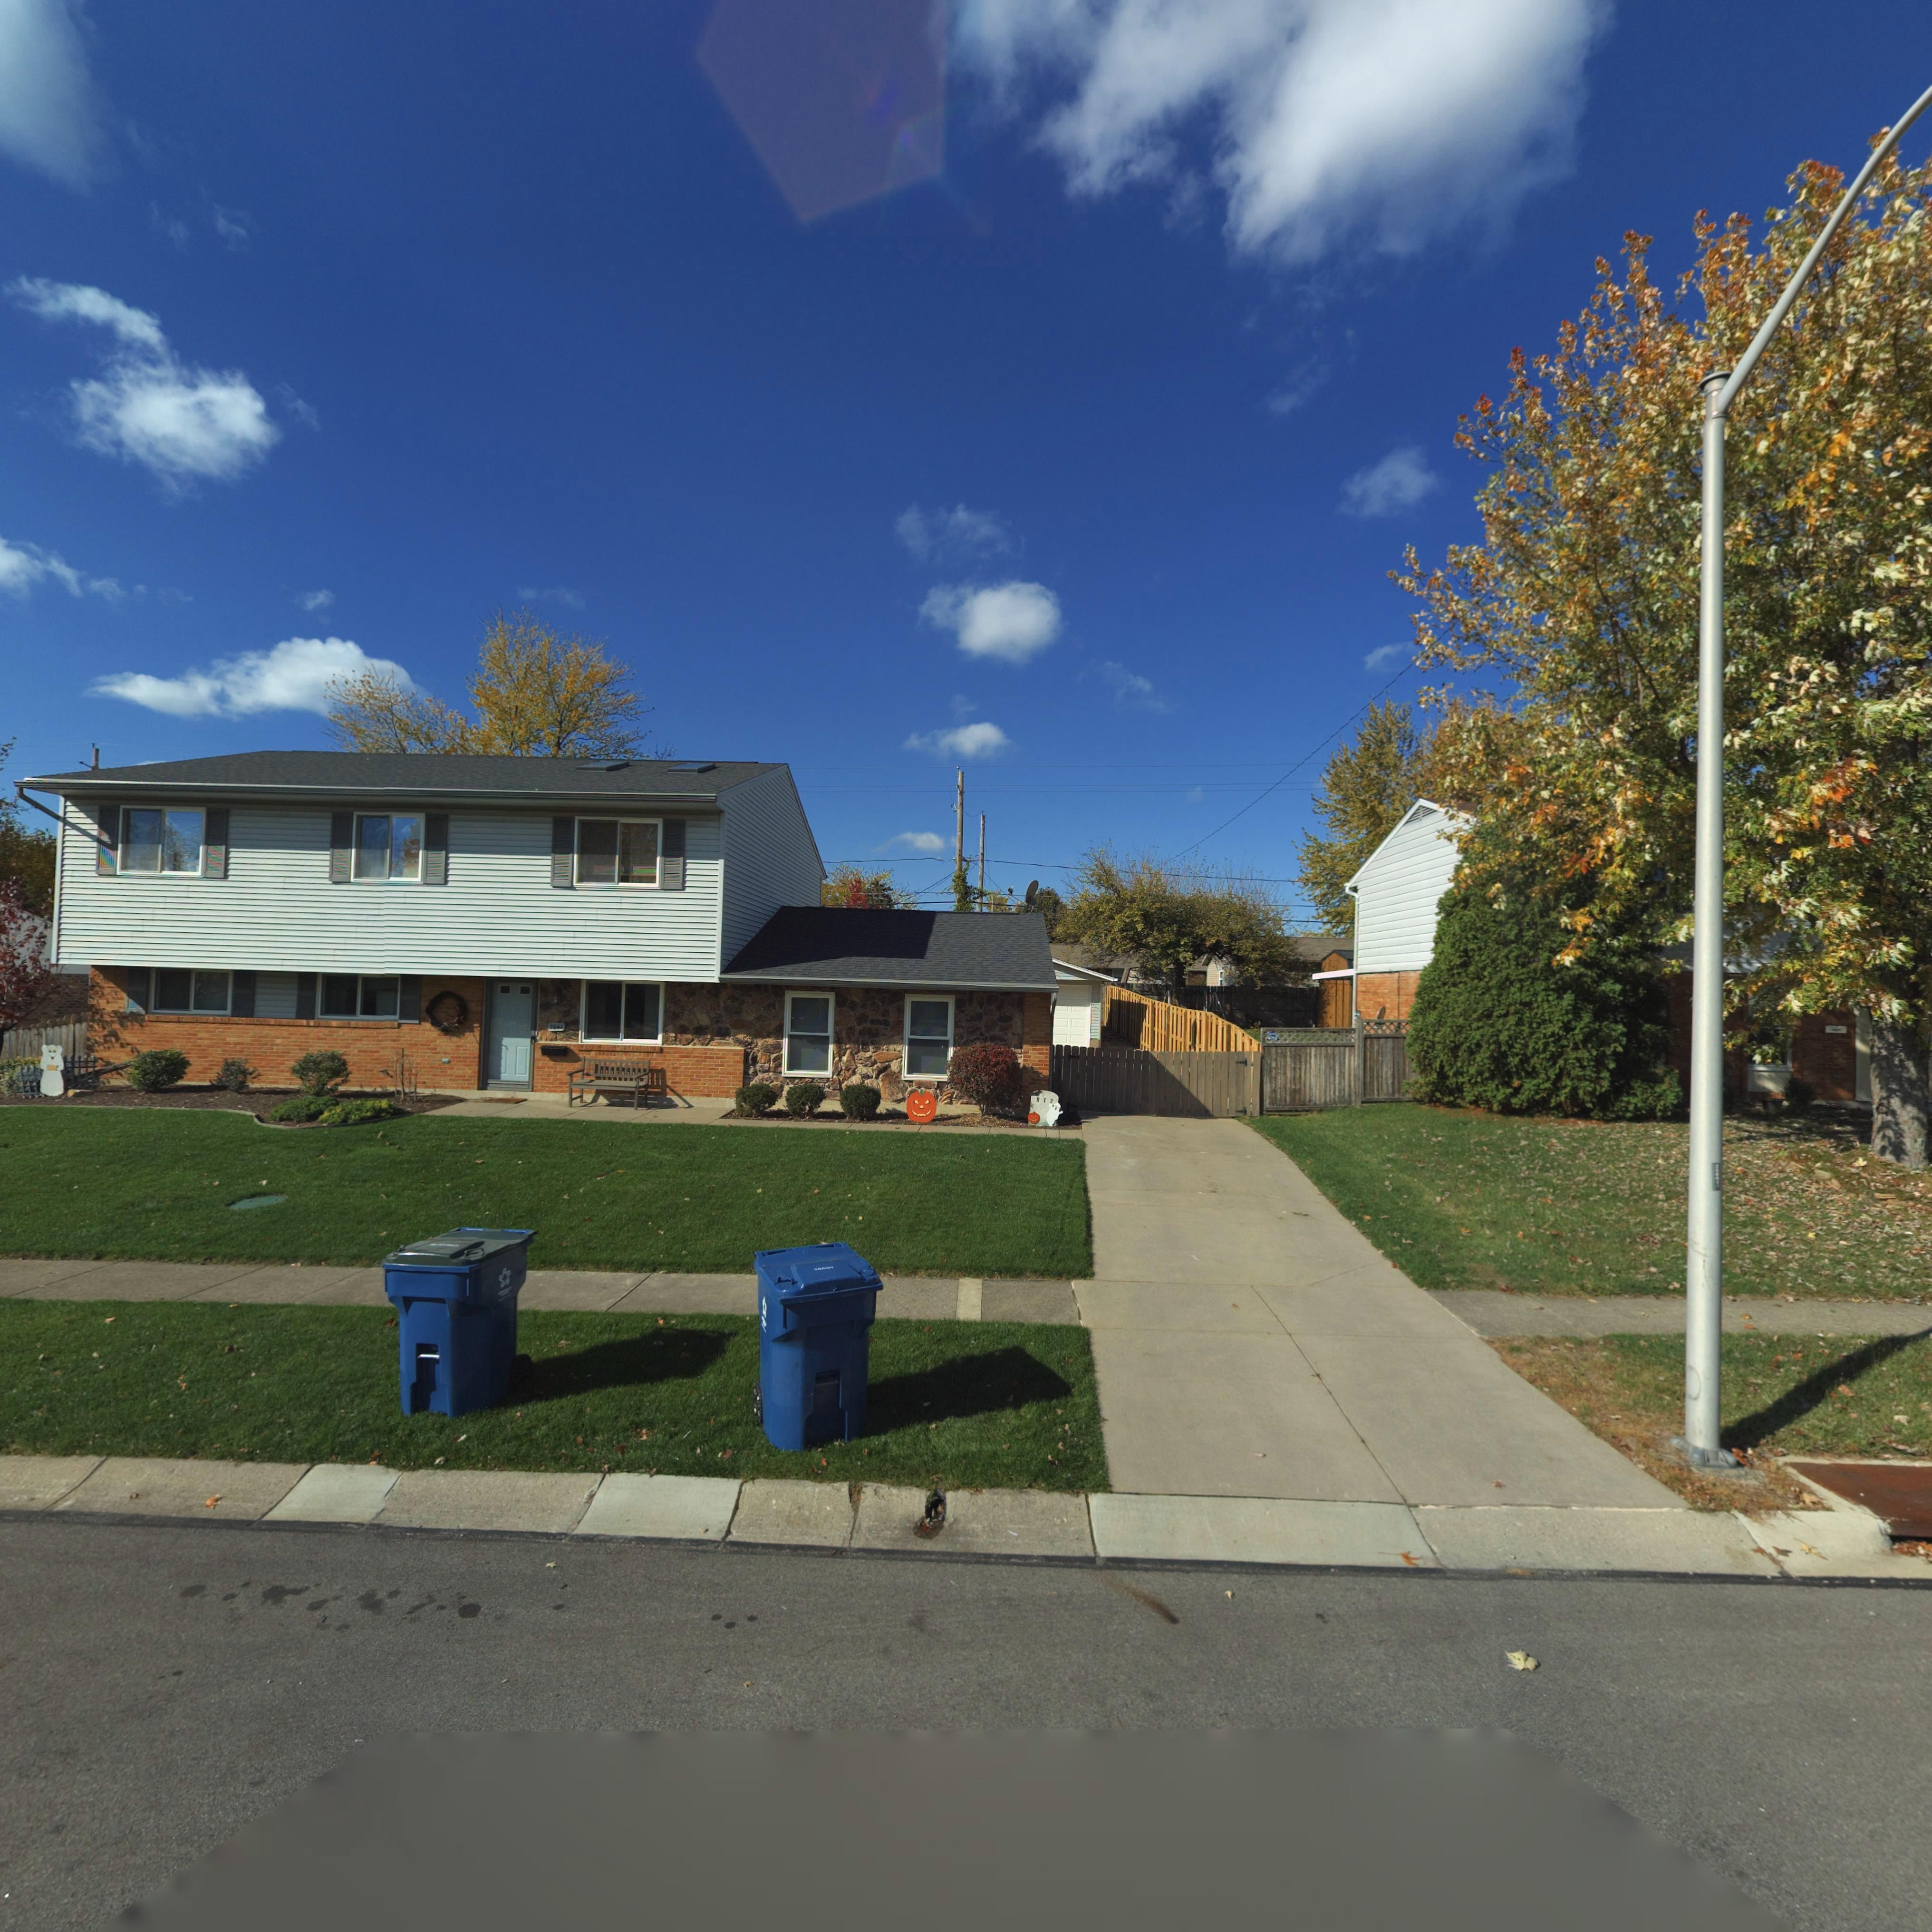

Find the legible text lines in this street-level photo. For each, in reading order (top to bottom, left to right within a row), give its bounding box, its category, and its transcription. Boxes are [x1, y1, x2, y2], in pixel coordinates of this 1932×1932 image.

[549, 1023, 564, 1031] StreetNumber: 7641